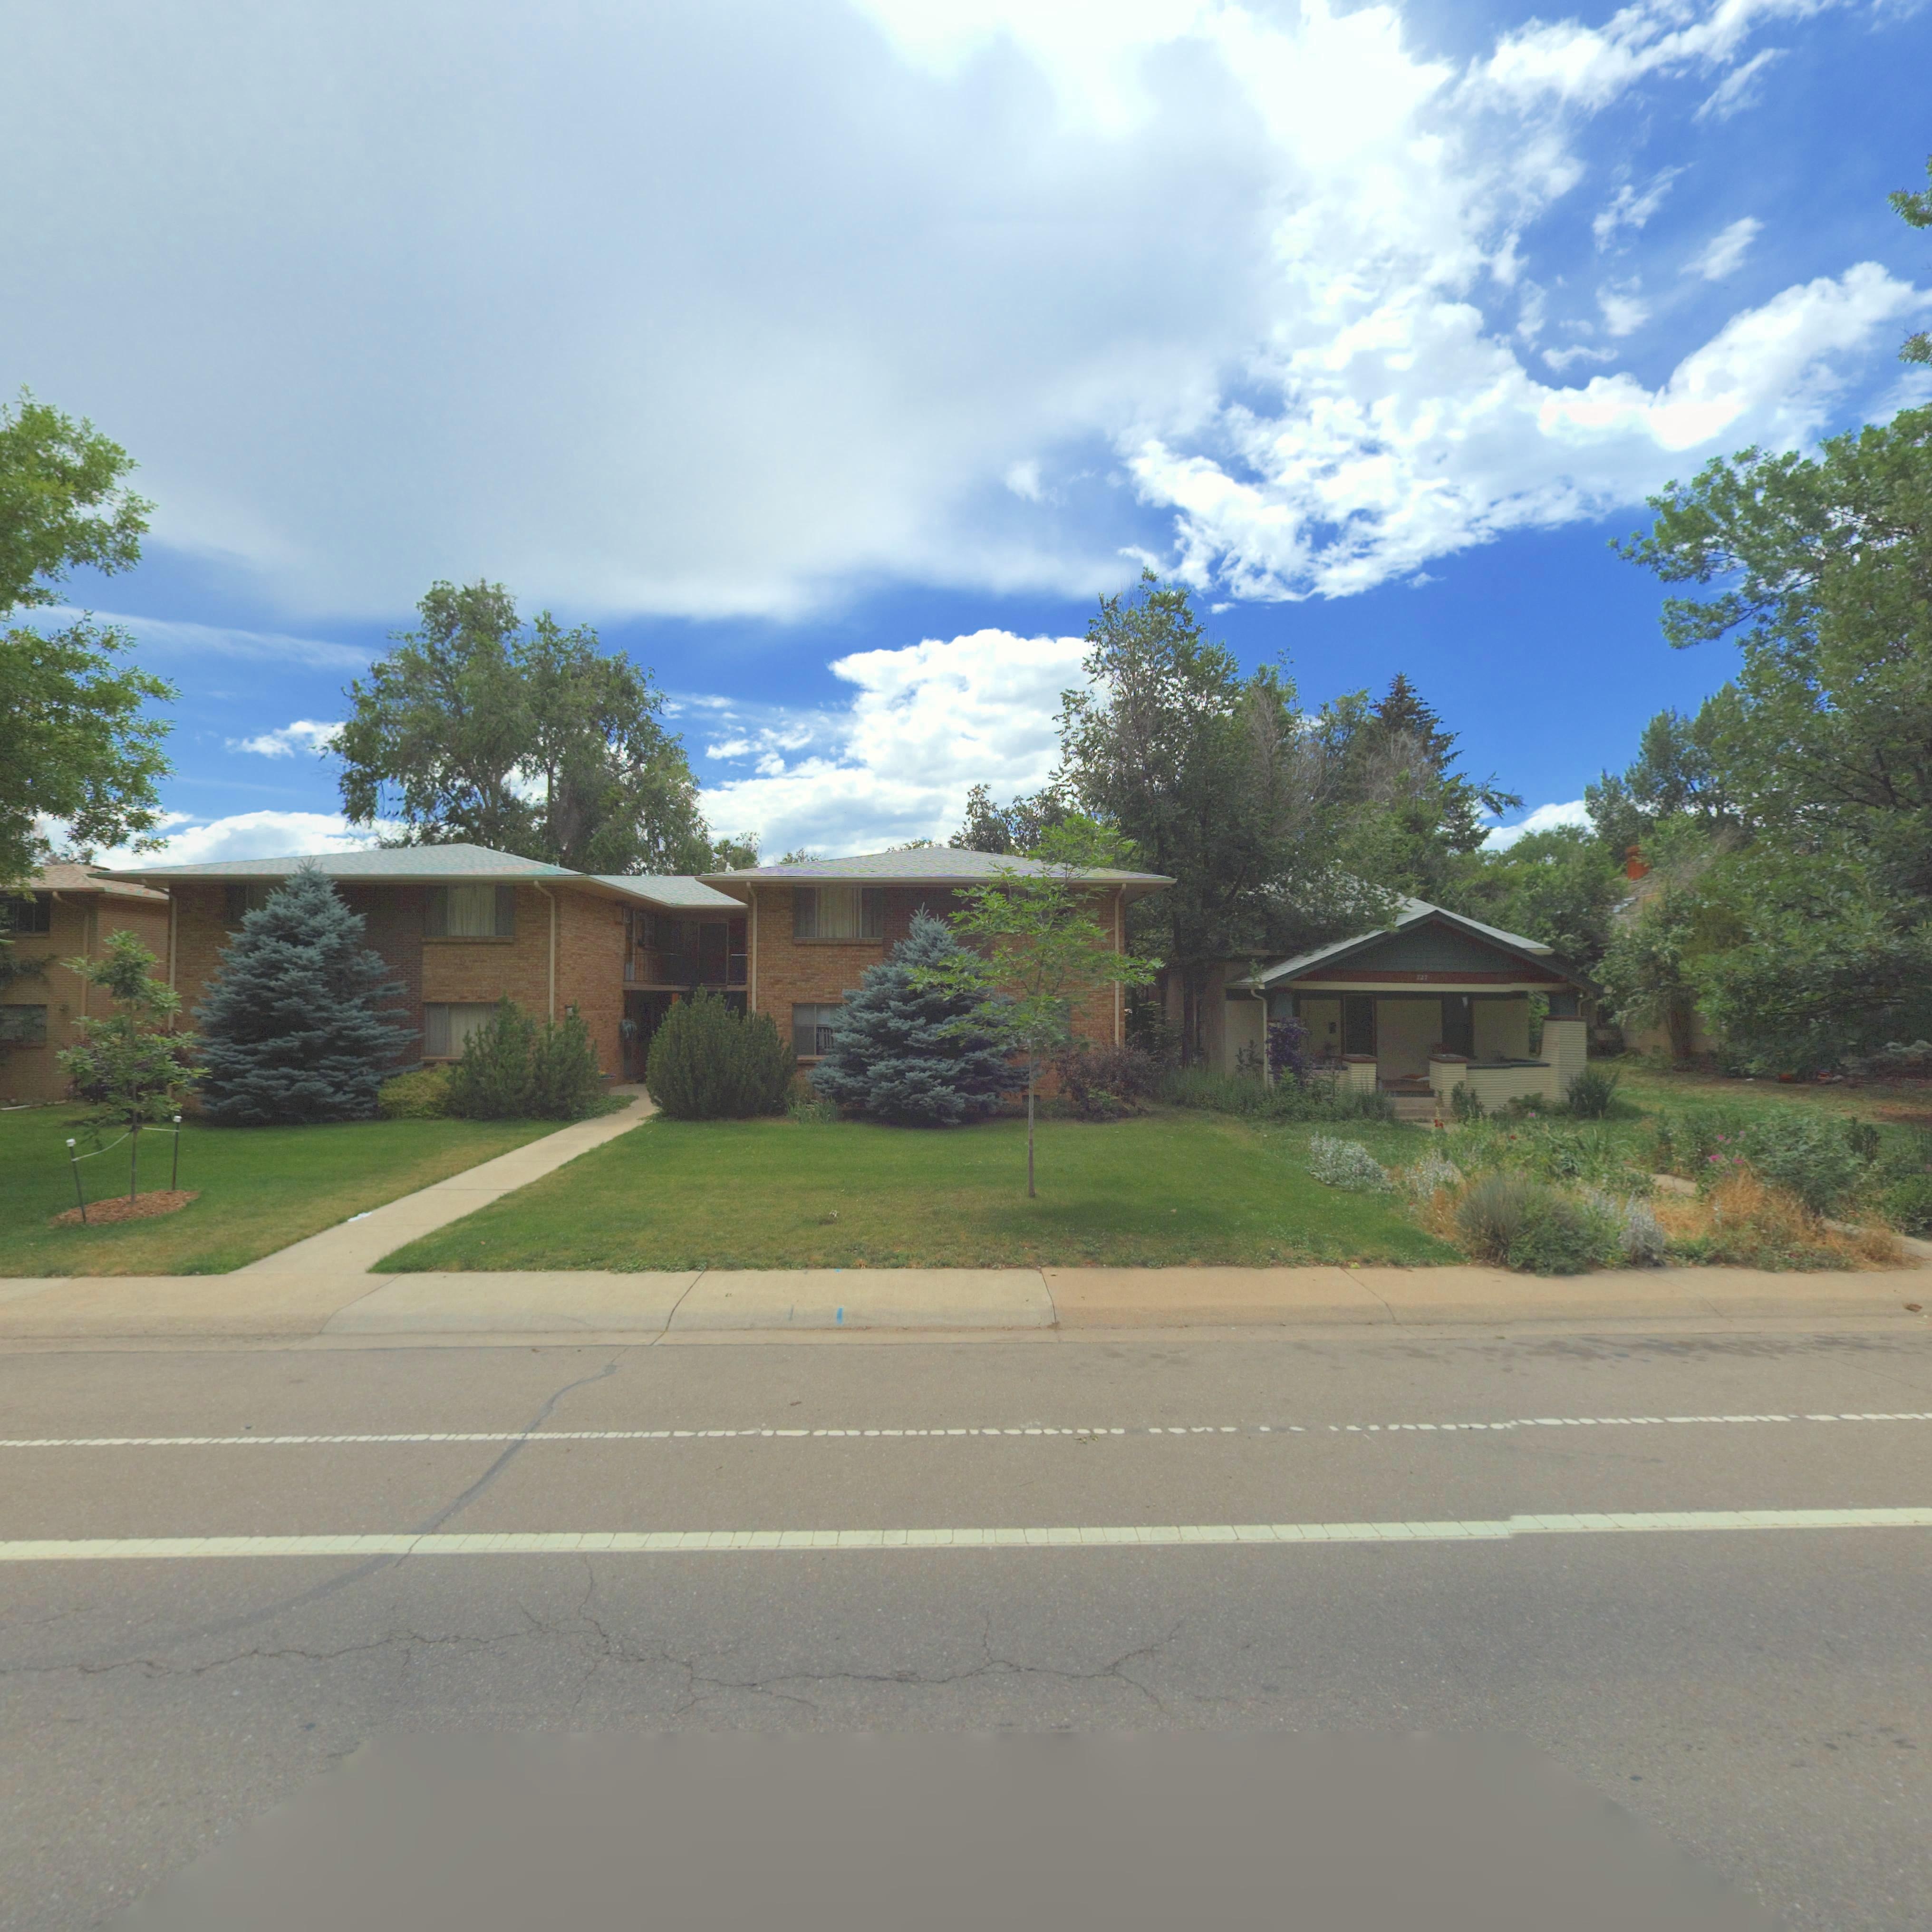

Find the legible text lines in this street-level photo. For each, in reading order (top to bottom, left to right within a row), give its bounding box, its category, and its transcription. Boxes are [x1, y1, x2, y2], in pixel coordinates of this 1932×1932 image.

[1416, 974, 1428, 981] StreetNumber: 727